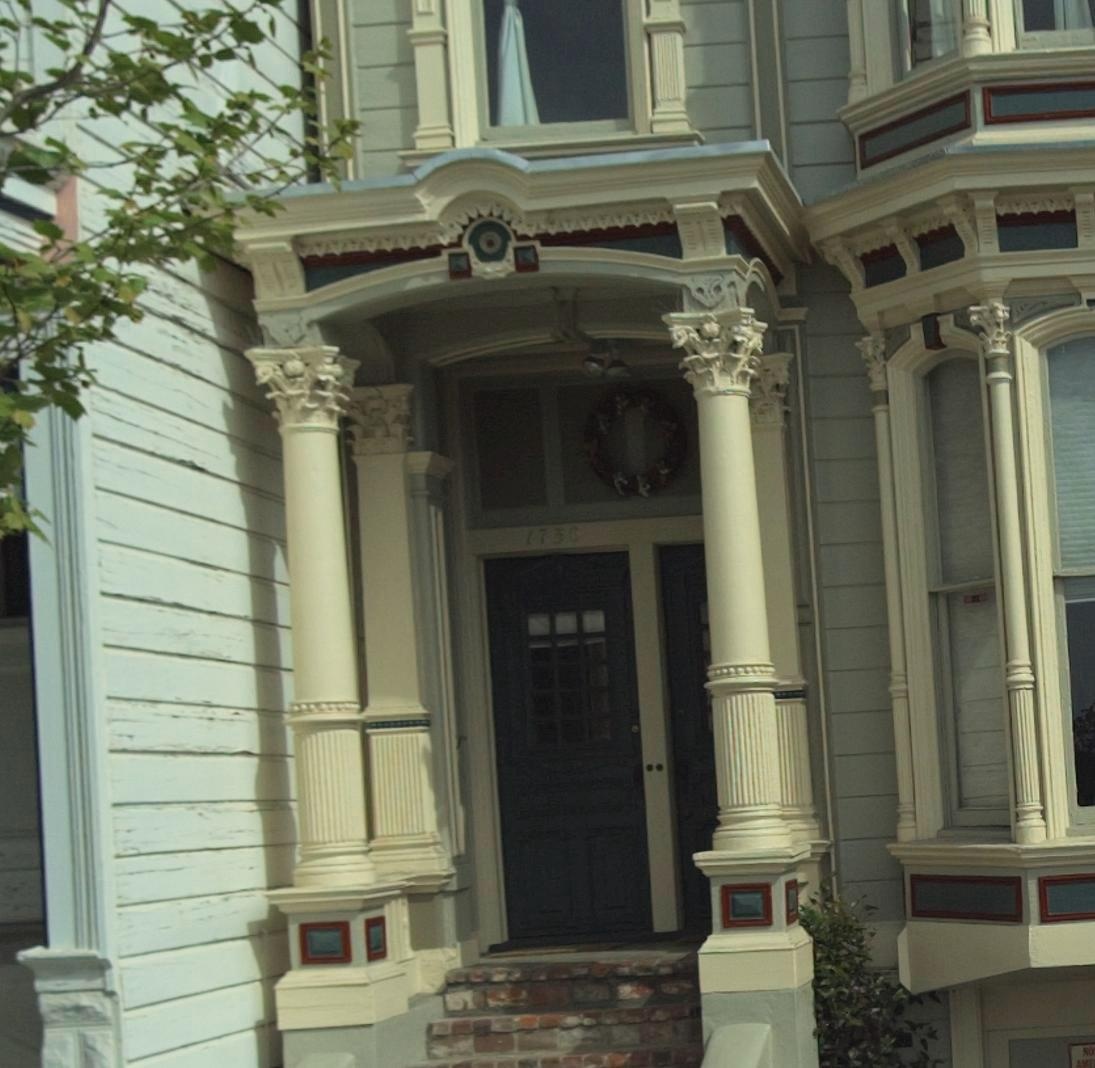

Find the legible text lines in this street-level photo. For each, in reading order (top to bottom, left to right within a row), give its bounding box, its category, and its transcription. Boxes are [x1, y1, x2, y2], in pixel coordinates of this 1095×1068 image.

[523, 521, 585, 551] StreetNumber: 1736